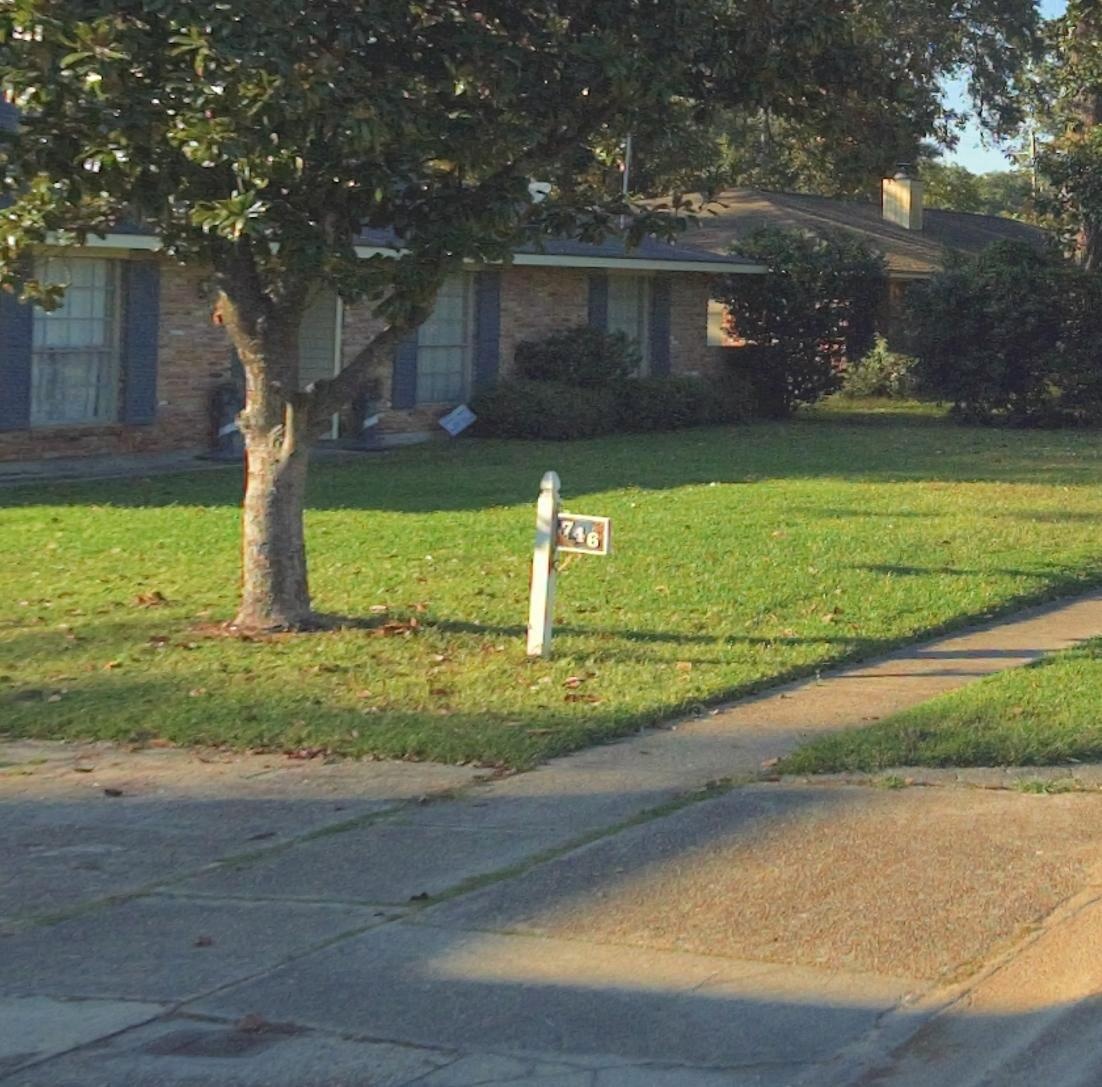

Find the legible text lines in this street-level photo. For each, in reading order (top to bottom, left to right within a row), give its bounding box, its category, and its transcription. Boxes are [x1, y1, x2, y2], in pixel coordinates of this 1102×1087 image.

[561, 519, 600, 549] StreetNumber: 746